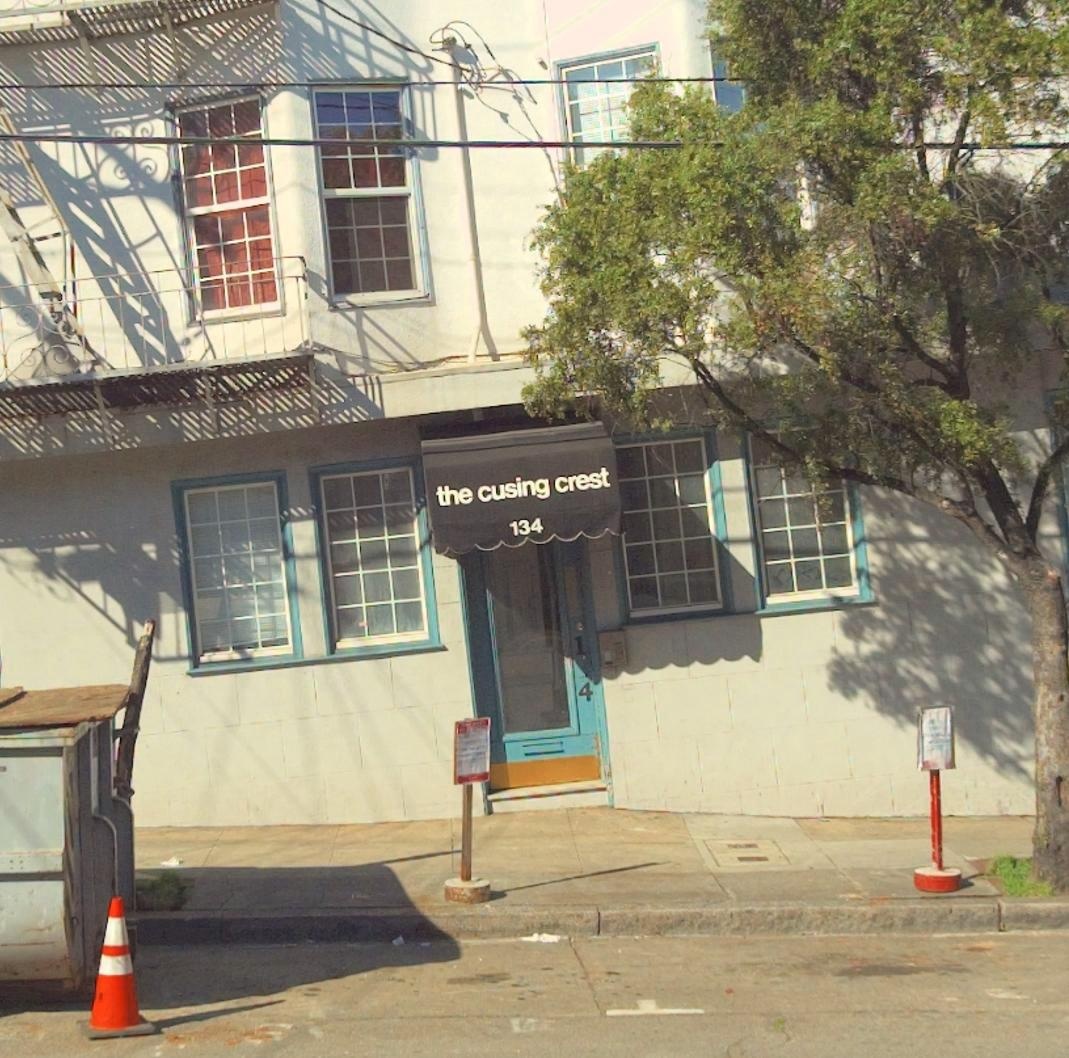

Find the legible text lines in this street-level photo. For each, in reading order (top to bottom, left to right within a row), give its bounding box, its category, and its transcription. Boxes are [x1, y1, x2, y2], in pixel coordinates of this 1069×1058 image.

[433, 464, 612, 509] BusinessName: the cusing crest
[506, 515, 547, 538] StreetNumber: 134
[572, 631, 596, 704] StreetNumber: 1*4